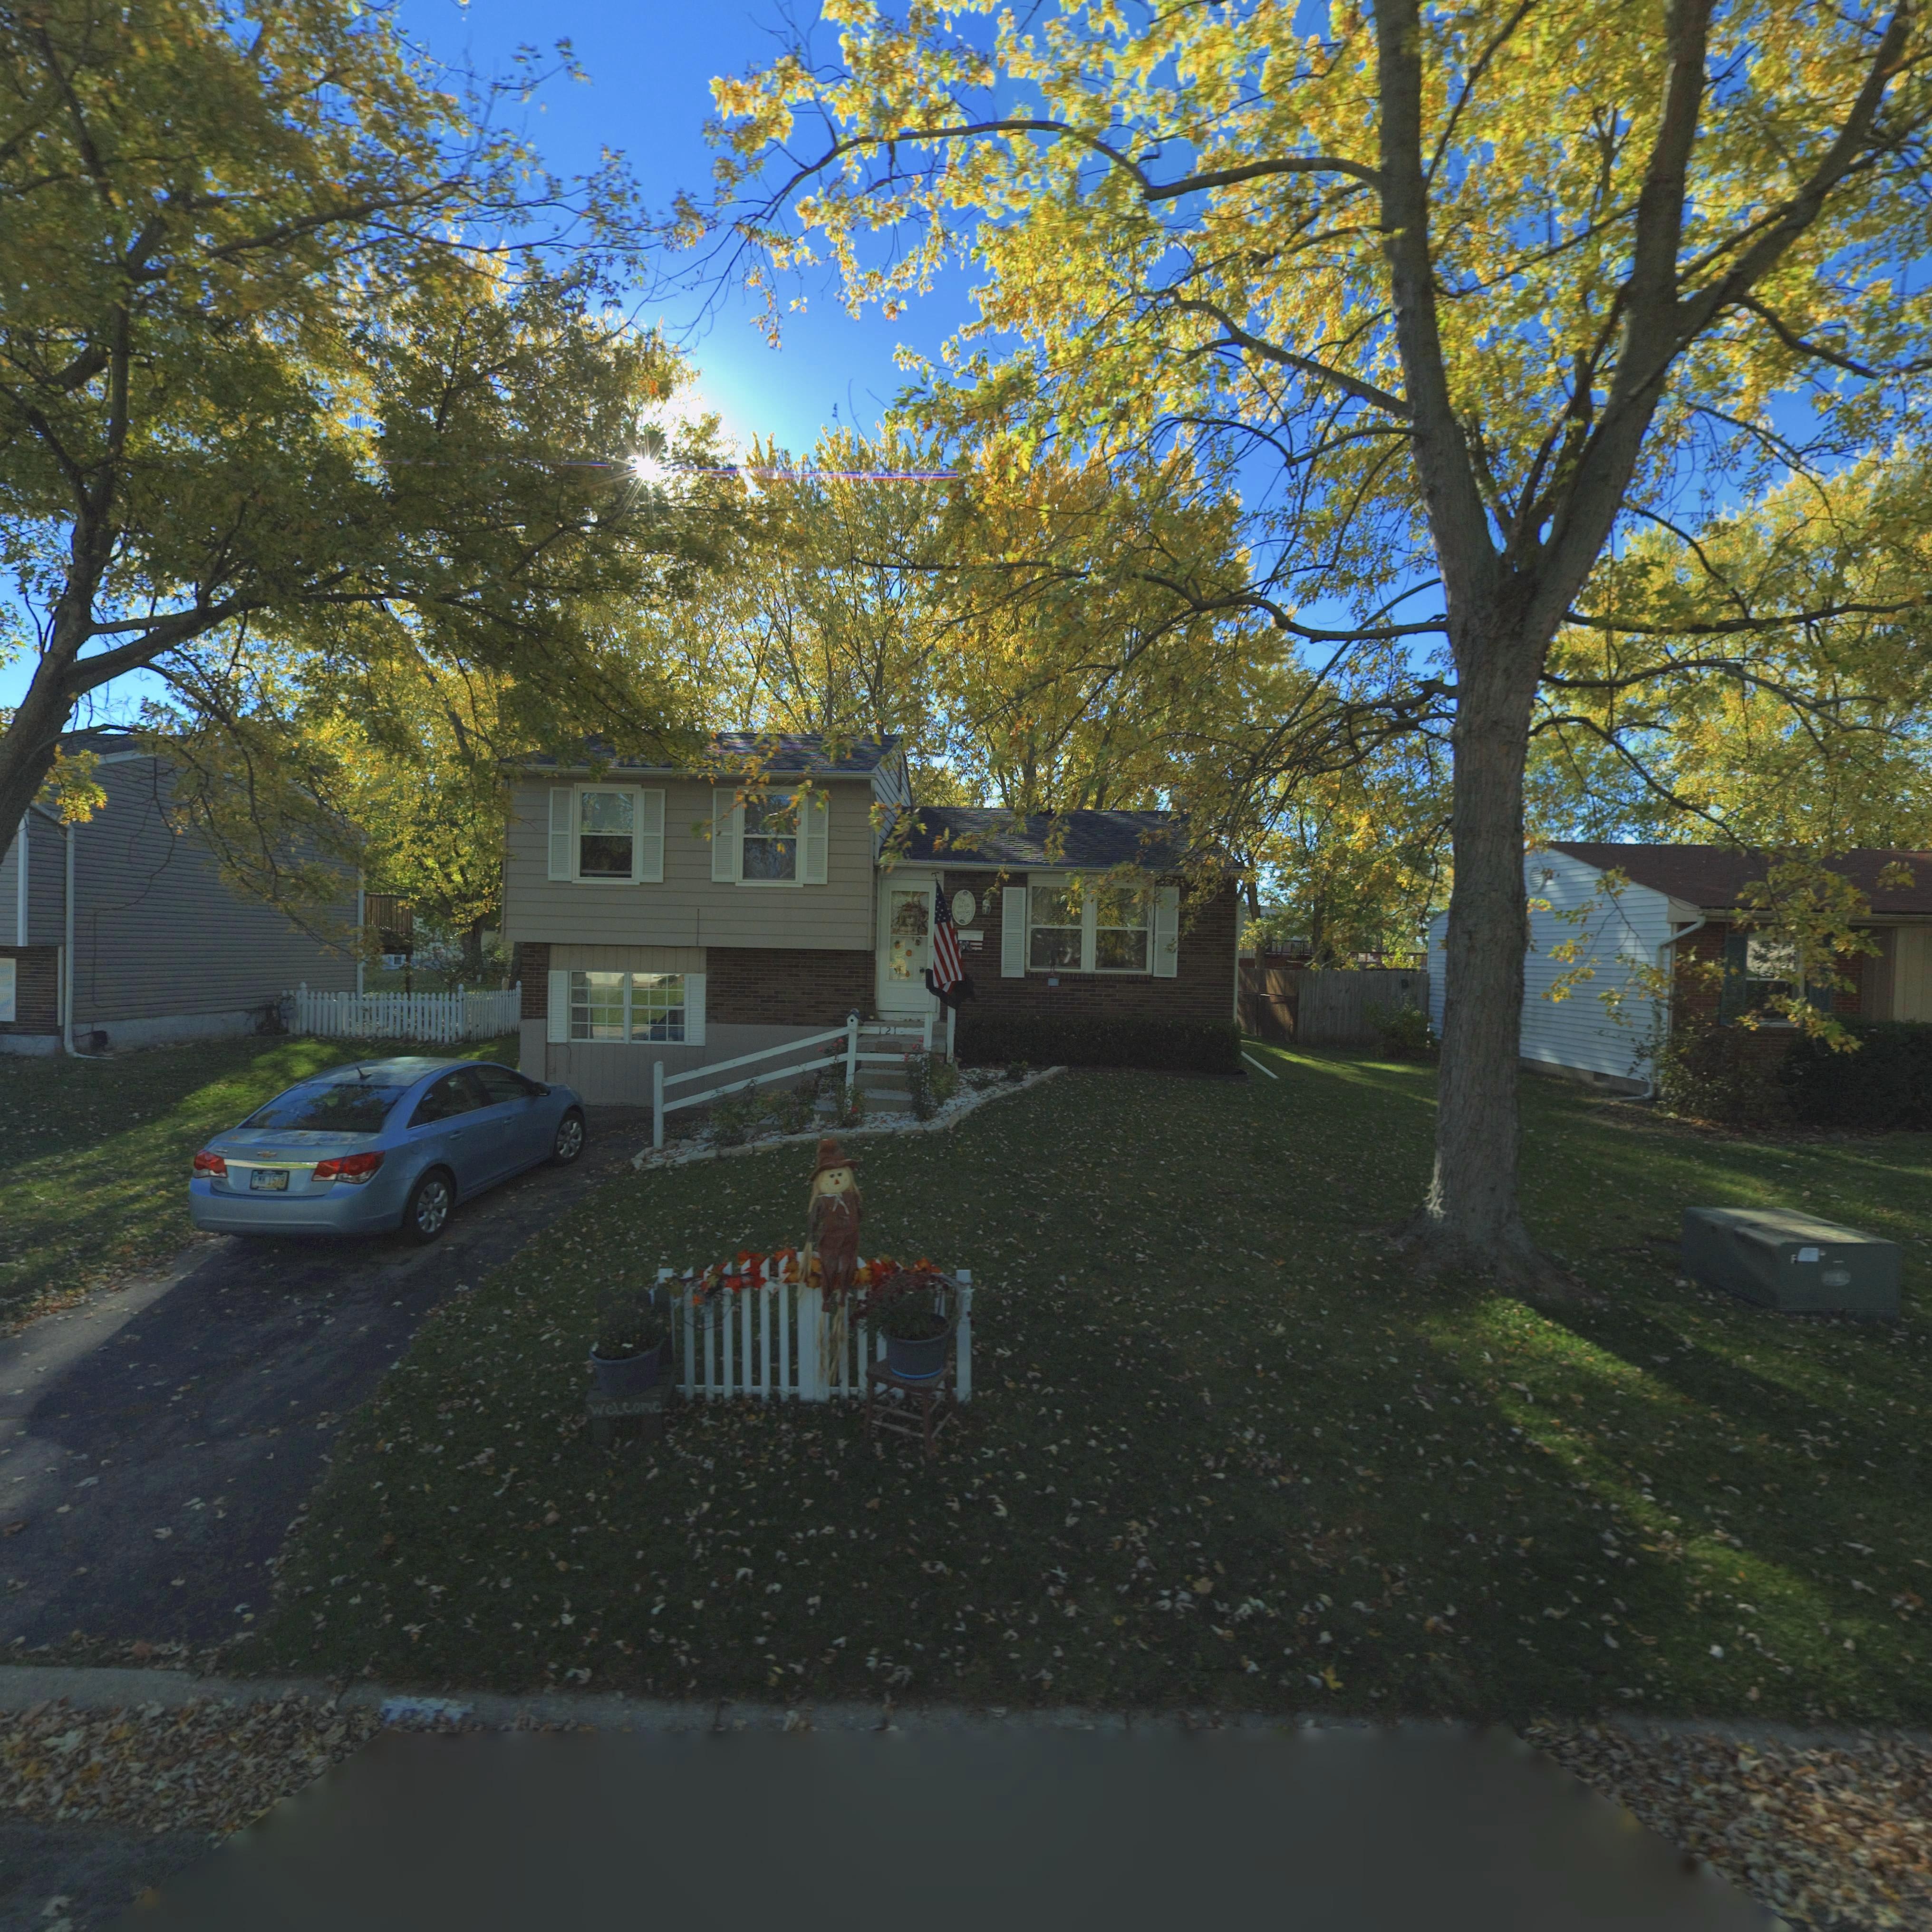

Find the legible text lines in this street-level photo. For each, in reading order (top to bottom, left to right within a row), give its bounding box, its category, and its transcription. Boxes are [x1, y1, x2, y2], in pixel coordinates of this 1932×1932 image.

[879, 1026, 897, 1035] StreetNumber: 121